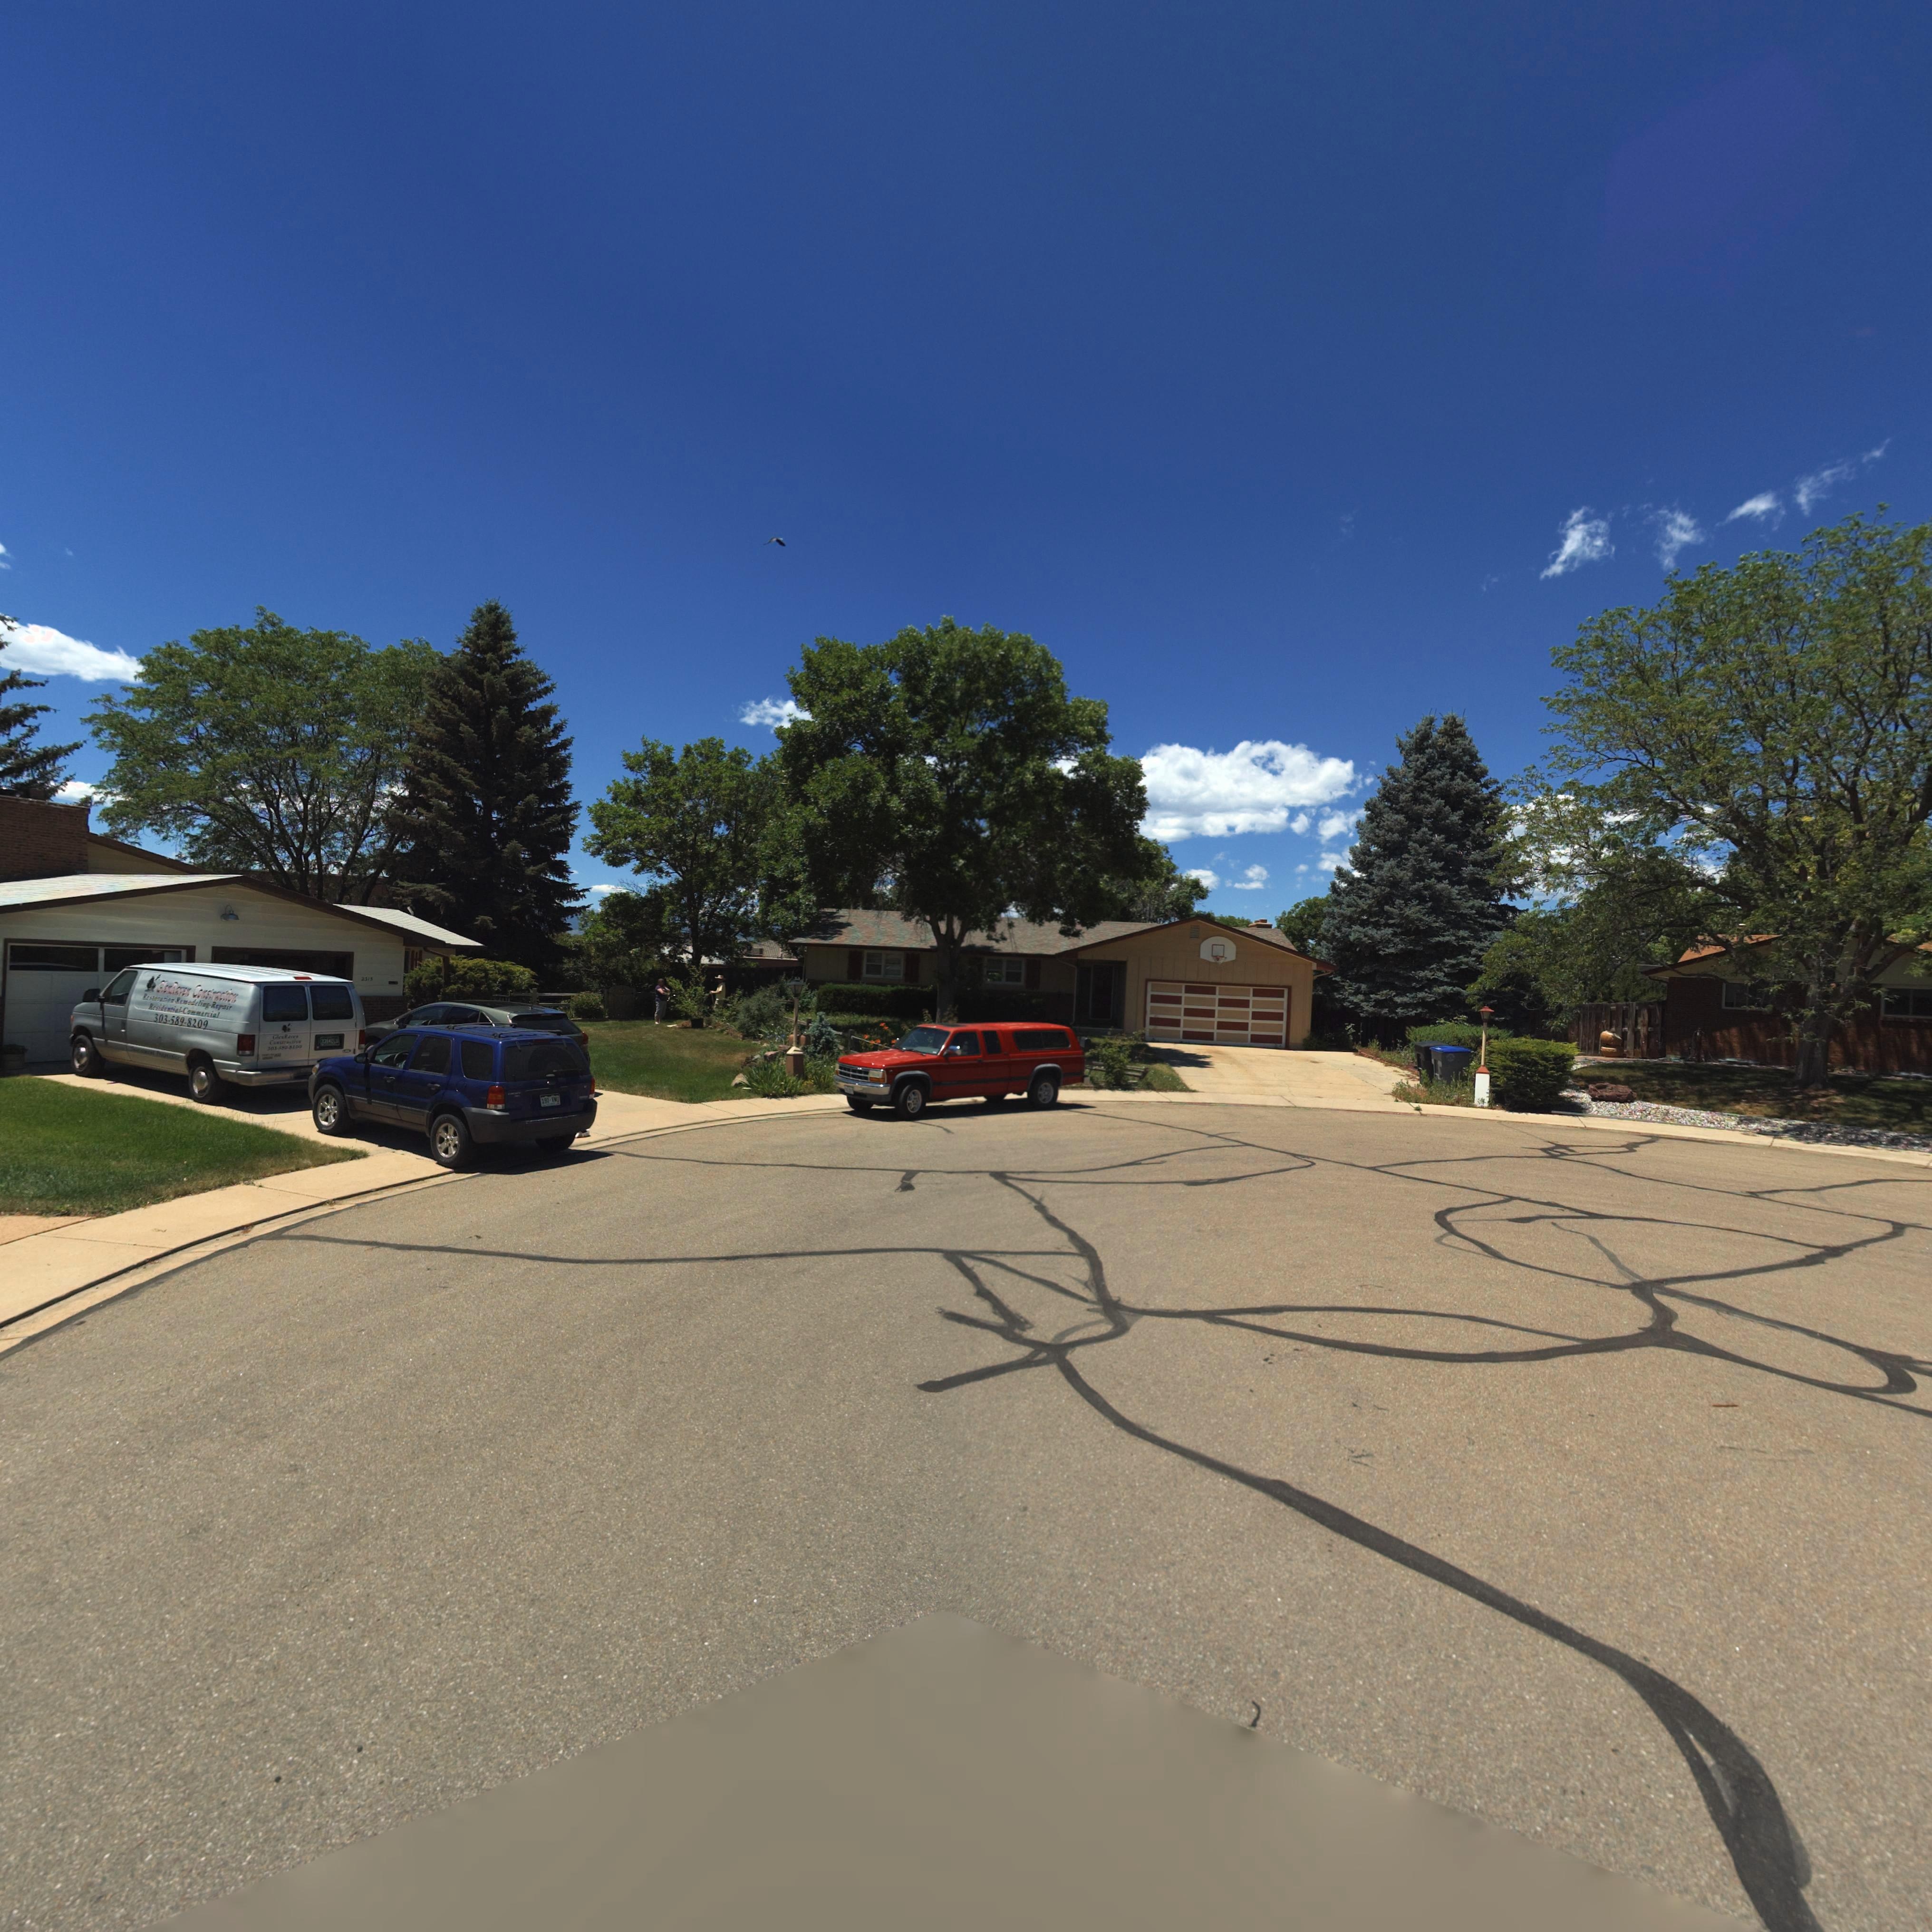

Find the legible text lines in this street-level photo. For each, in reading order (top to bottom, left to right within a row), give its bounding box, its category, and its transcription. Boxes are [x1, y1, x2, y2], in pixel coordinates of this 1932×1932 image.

[360, 976, 373, 981] StreetNumber: 231*